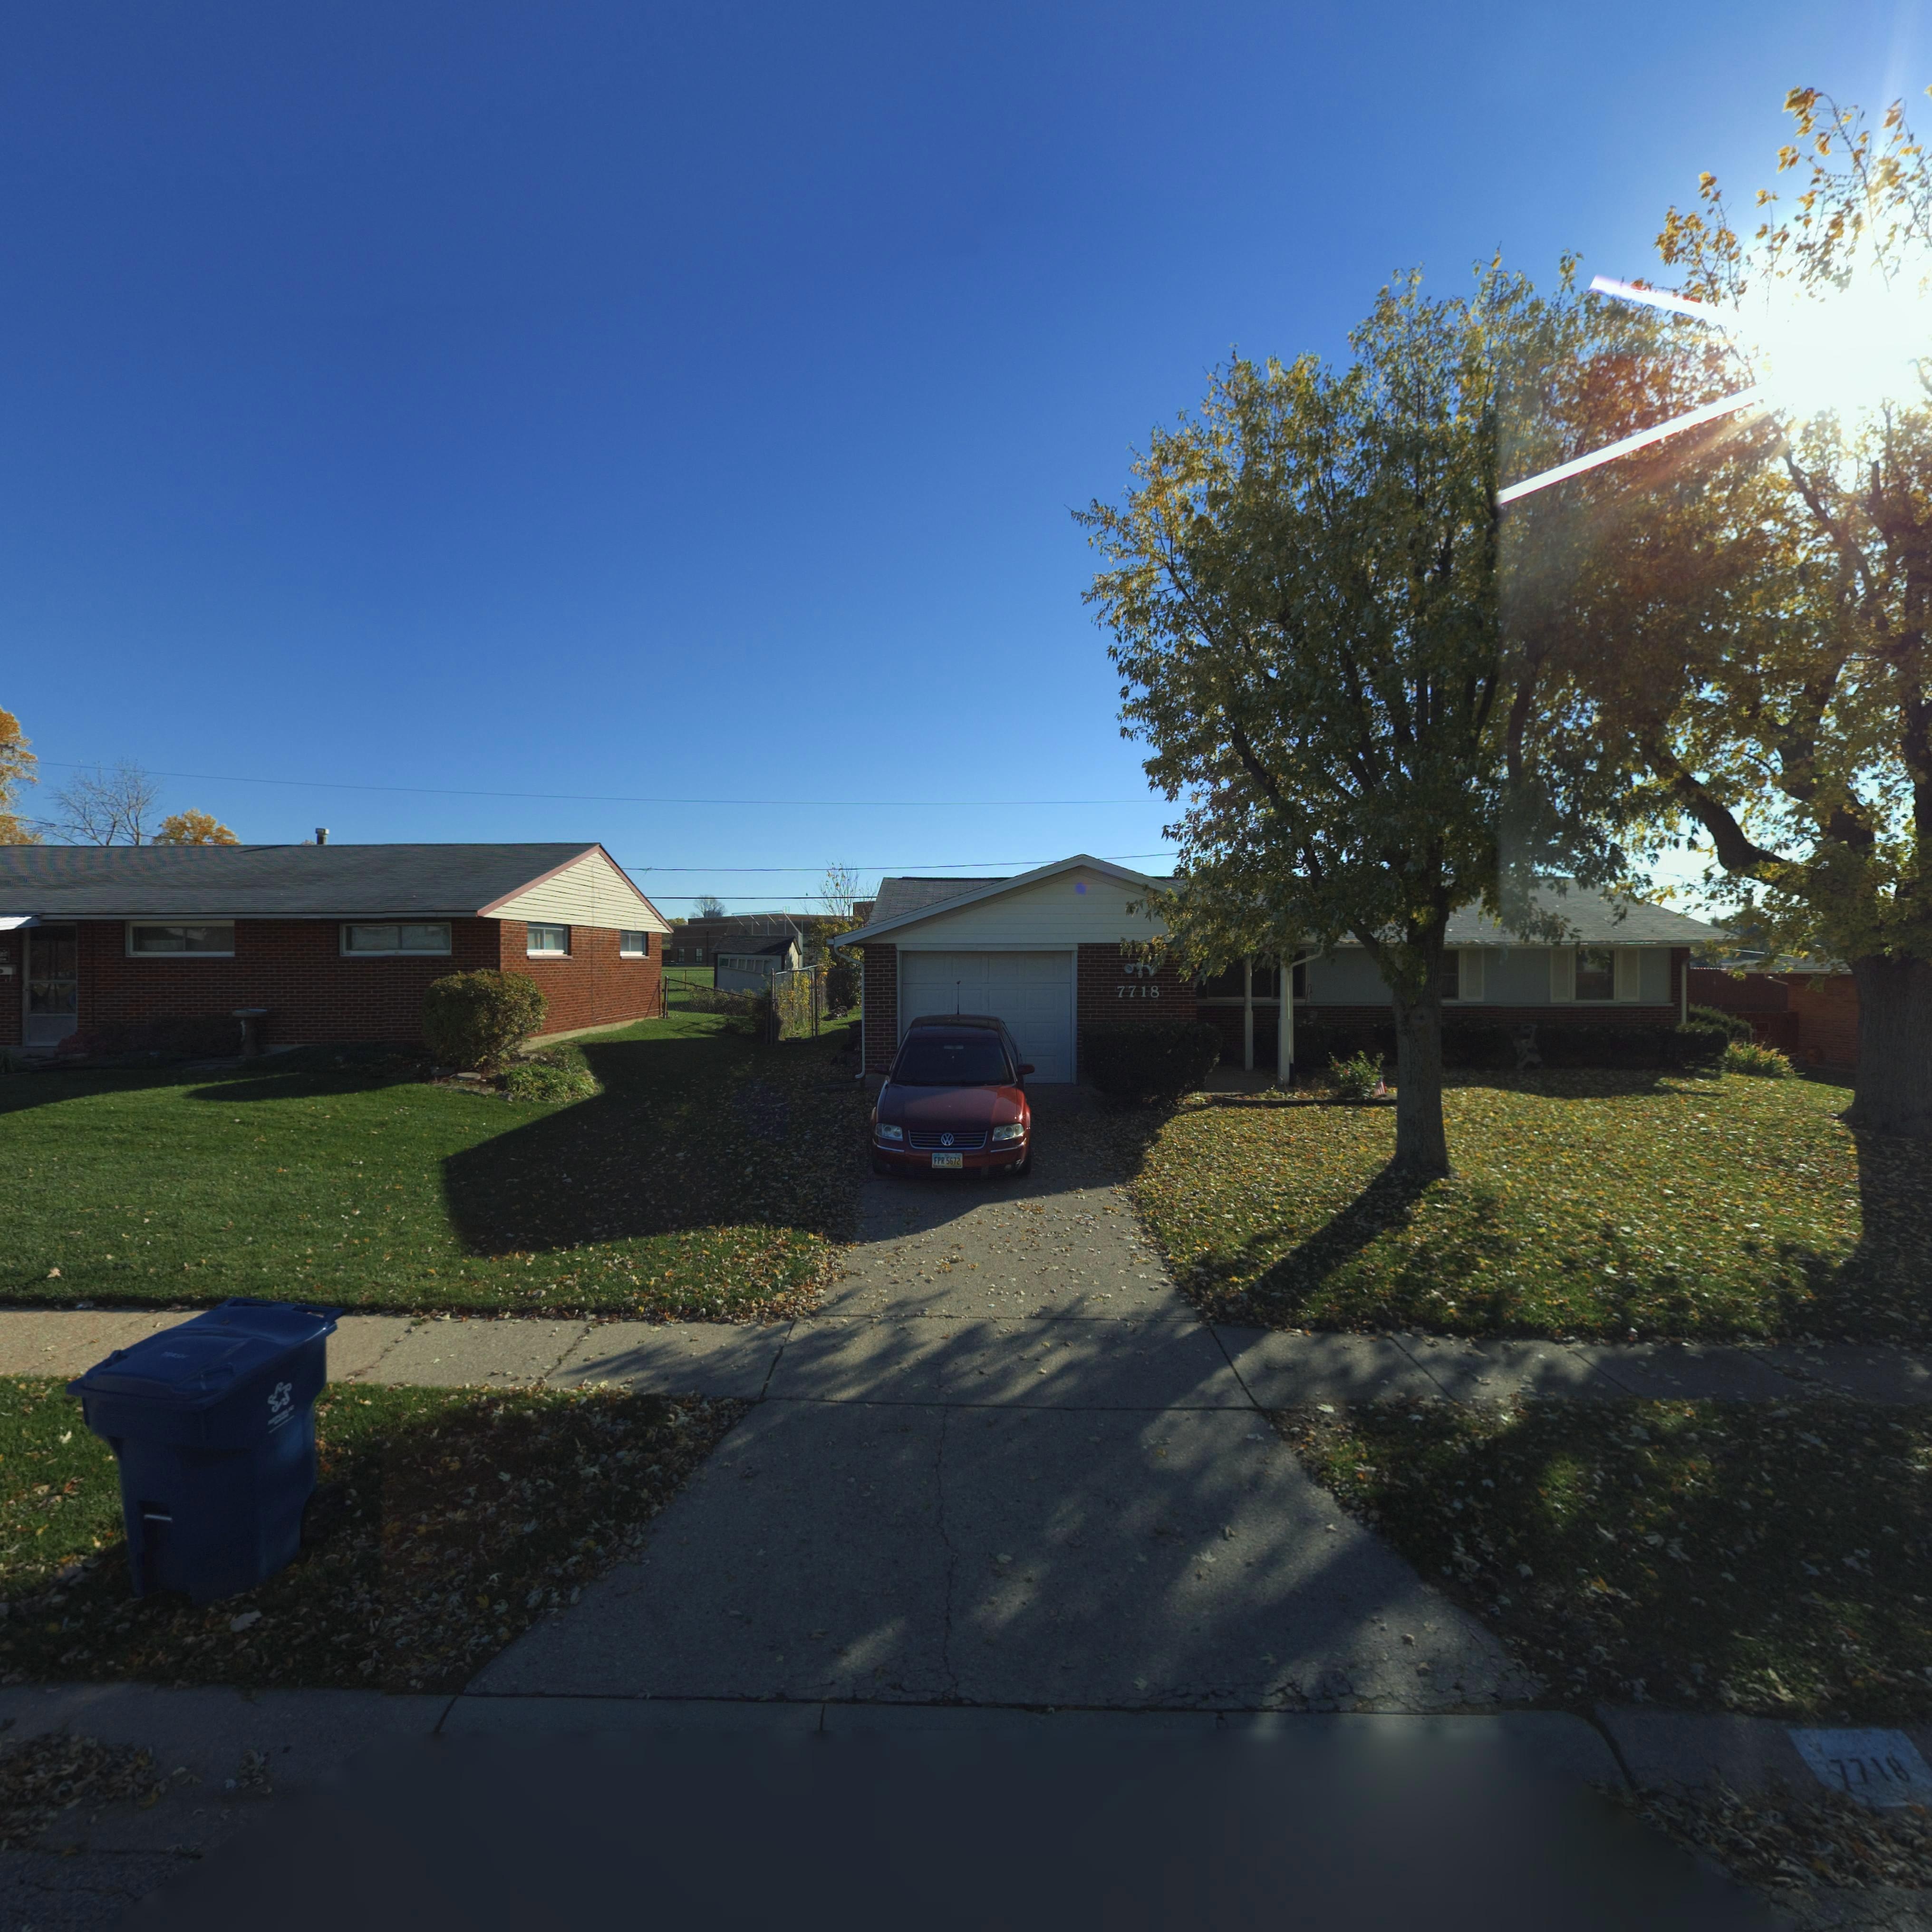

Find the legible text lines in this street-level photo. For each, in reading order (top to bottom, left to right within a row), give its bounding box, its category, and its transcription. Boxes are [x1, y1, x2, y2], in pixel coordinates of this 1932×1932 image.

[1116, 985, 1160, 999] StreetNumber: 7718
[1827, 1755, 1913, 1793] StreetNumber: 7718